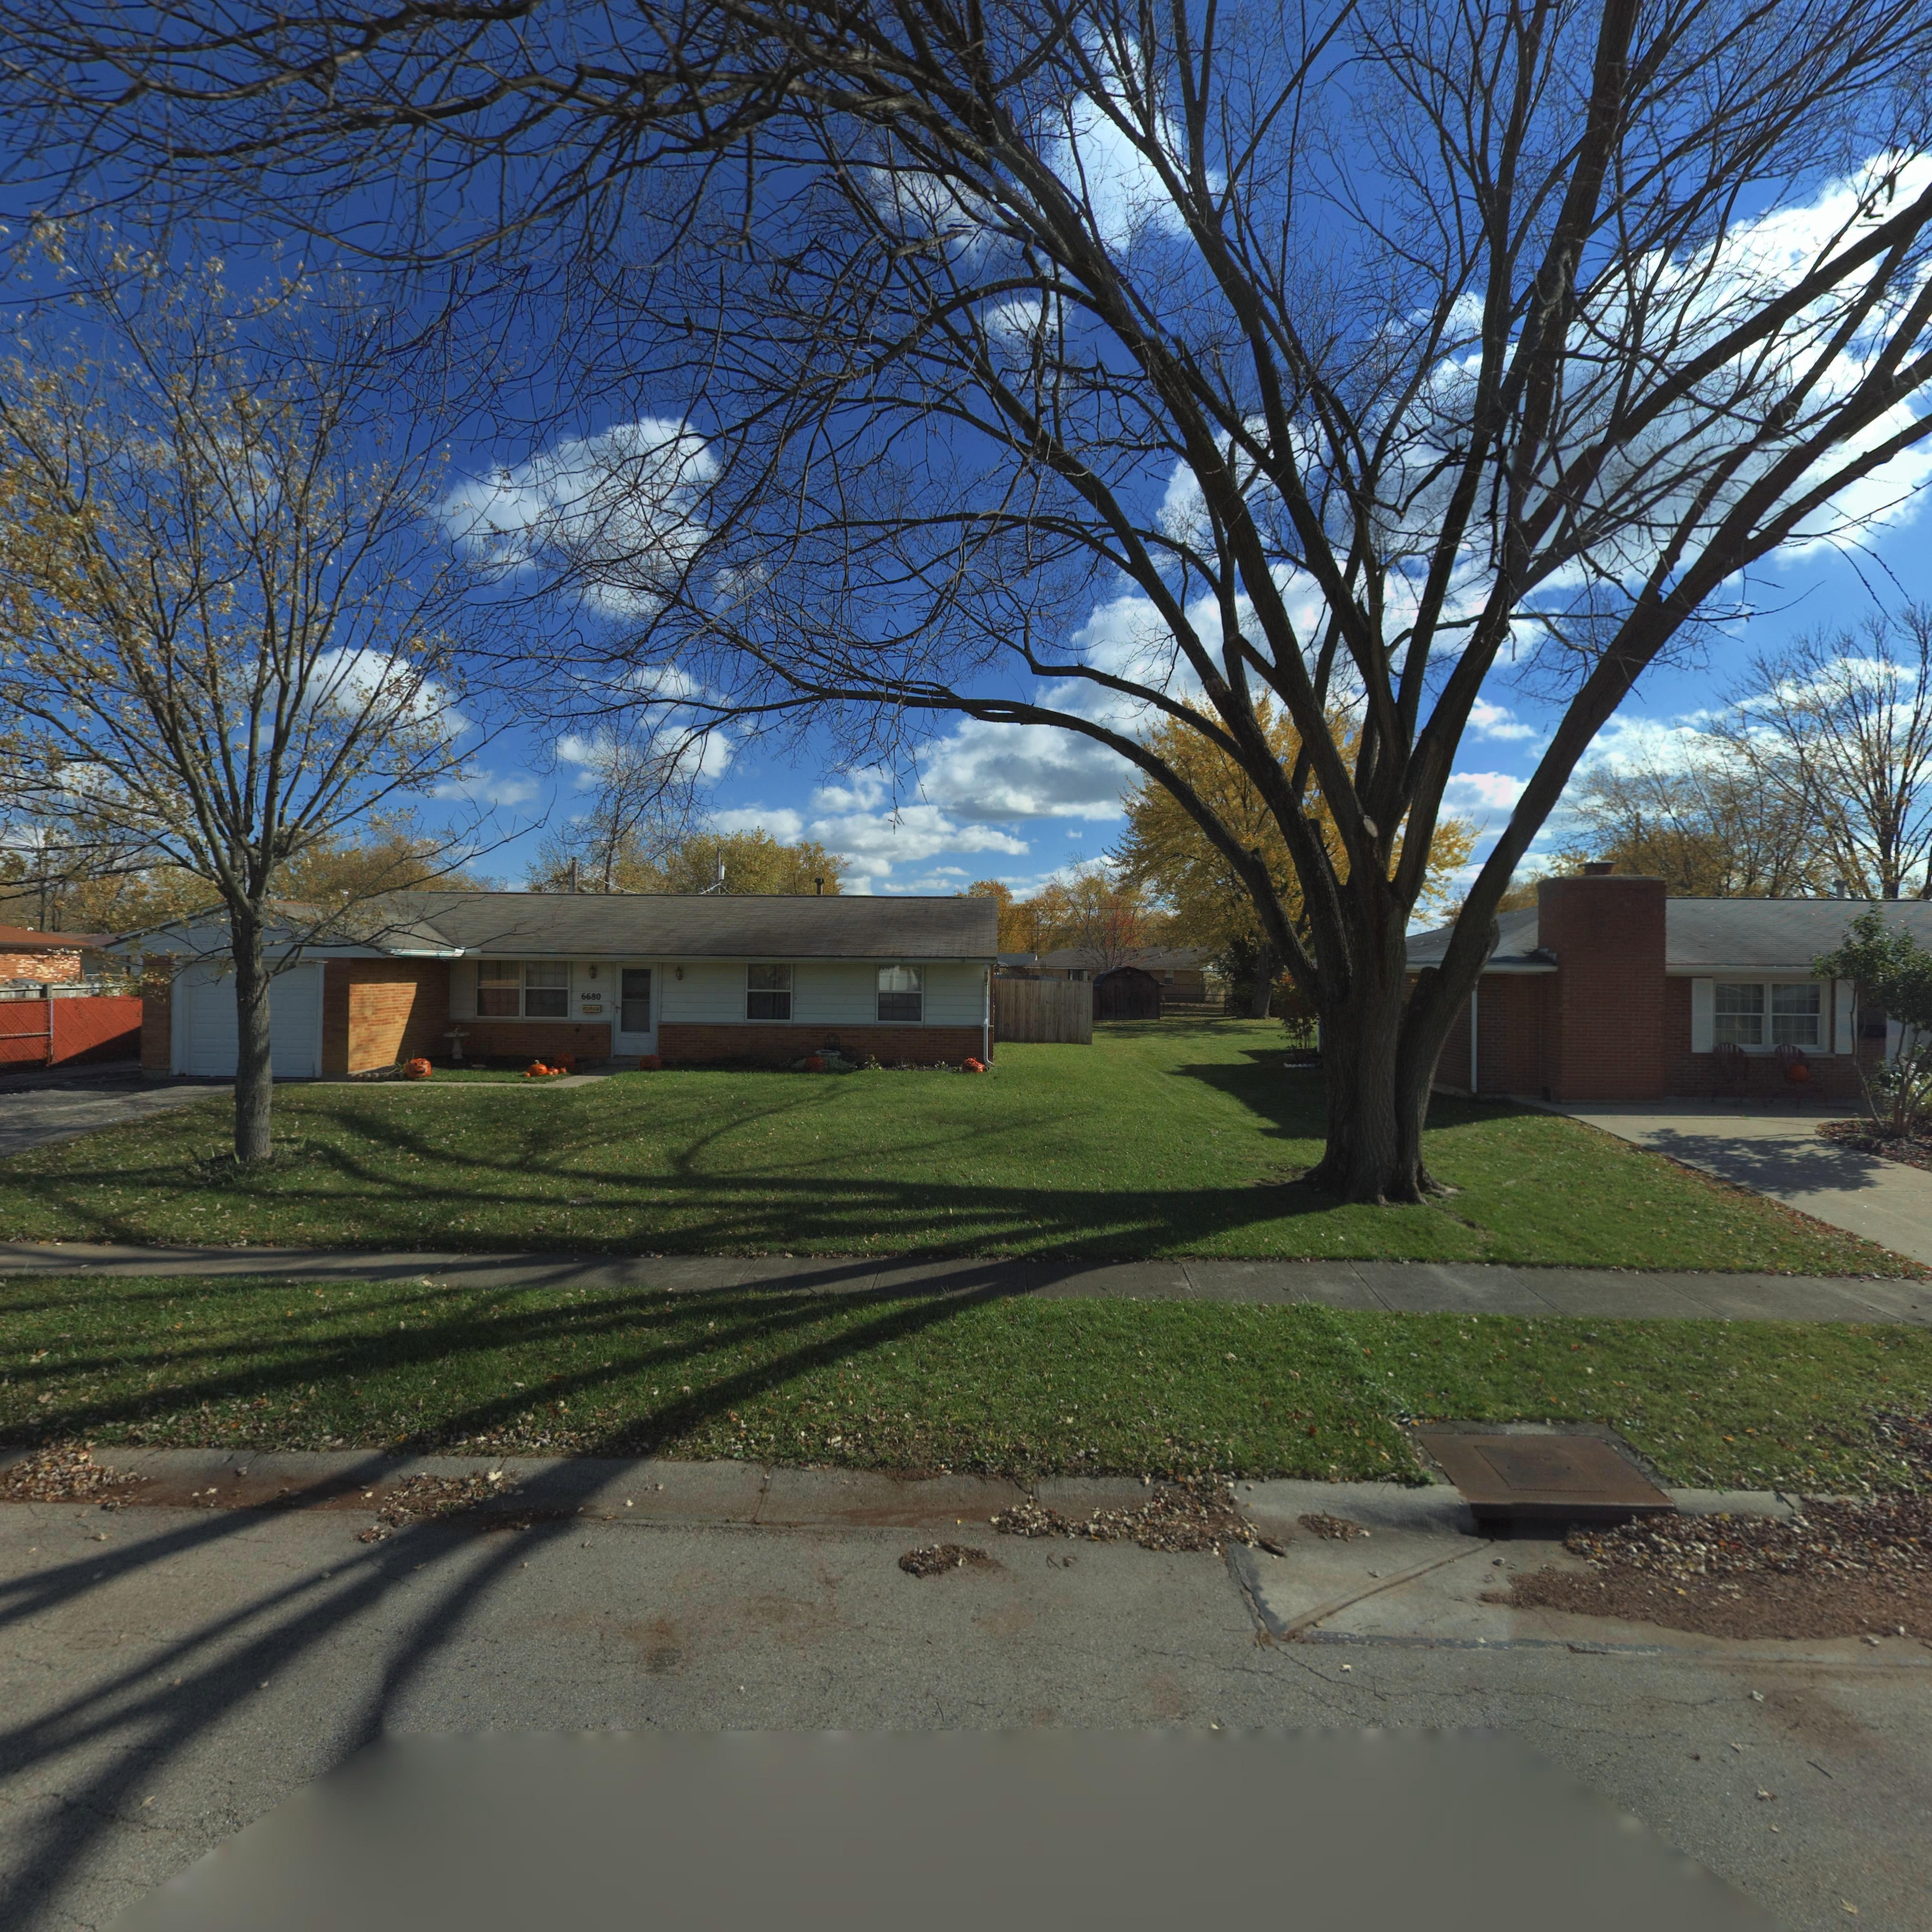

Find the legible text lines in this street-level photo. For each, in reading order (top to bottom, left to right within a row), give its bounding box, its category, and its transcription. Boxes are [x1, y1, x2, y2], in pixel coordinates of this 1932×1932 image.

[581, 992, 601, 1000] StreetNumber: 6680